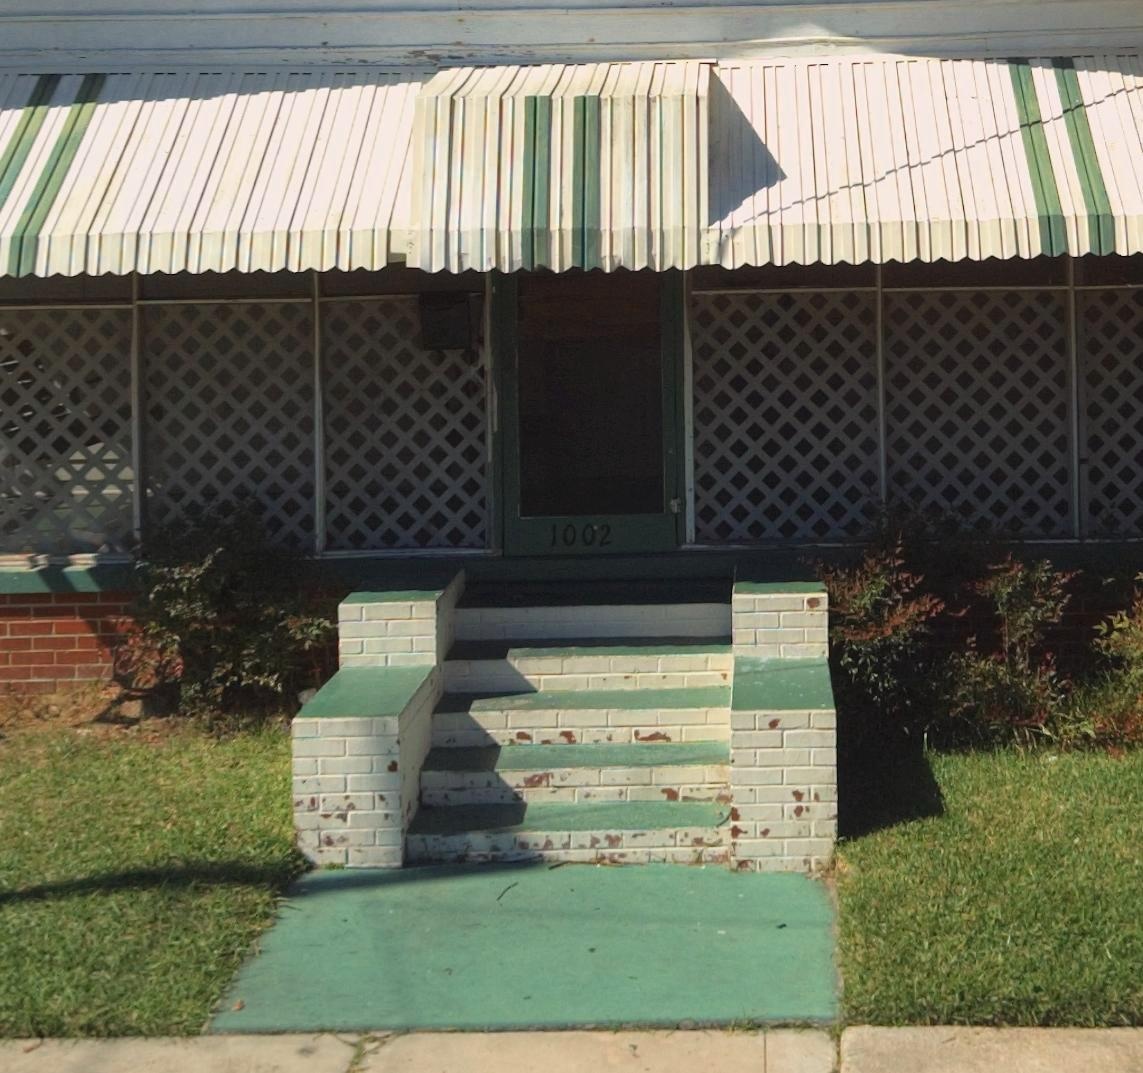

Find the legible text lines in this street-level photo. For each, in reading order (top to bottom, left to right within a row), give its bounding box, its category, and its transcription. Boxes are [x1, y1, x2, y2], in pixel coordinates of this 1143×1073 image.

[549, 521, 613, 549] StreetNumber: 1002